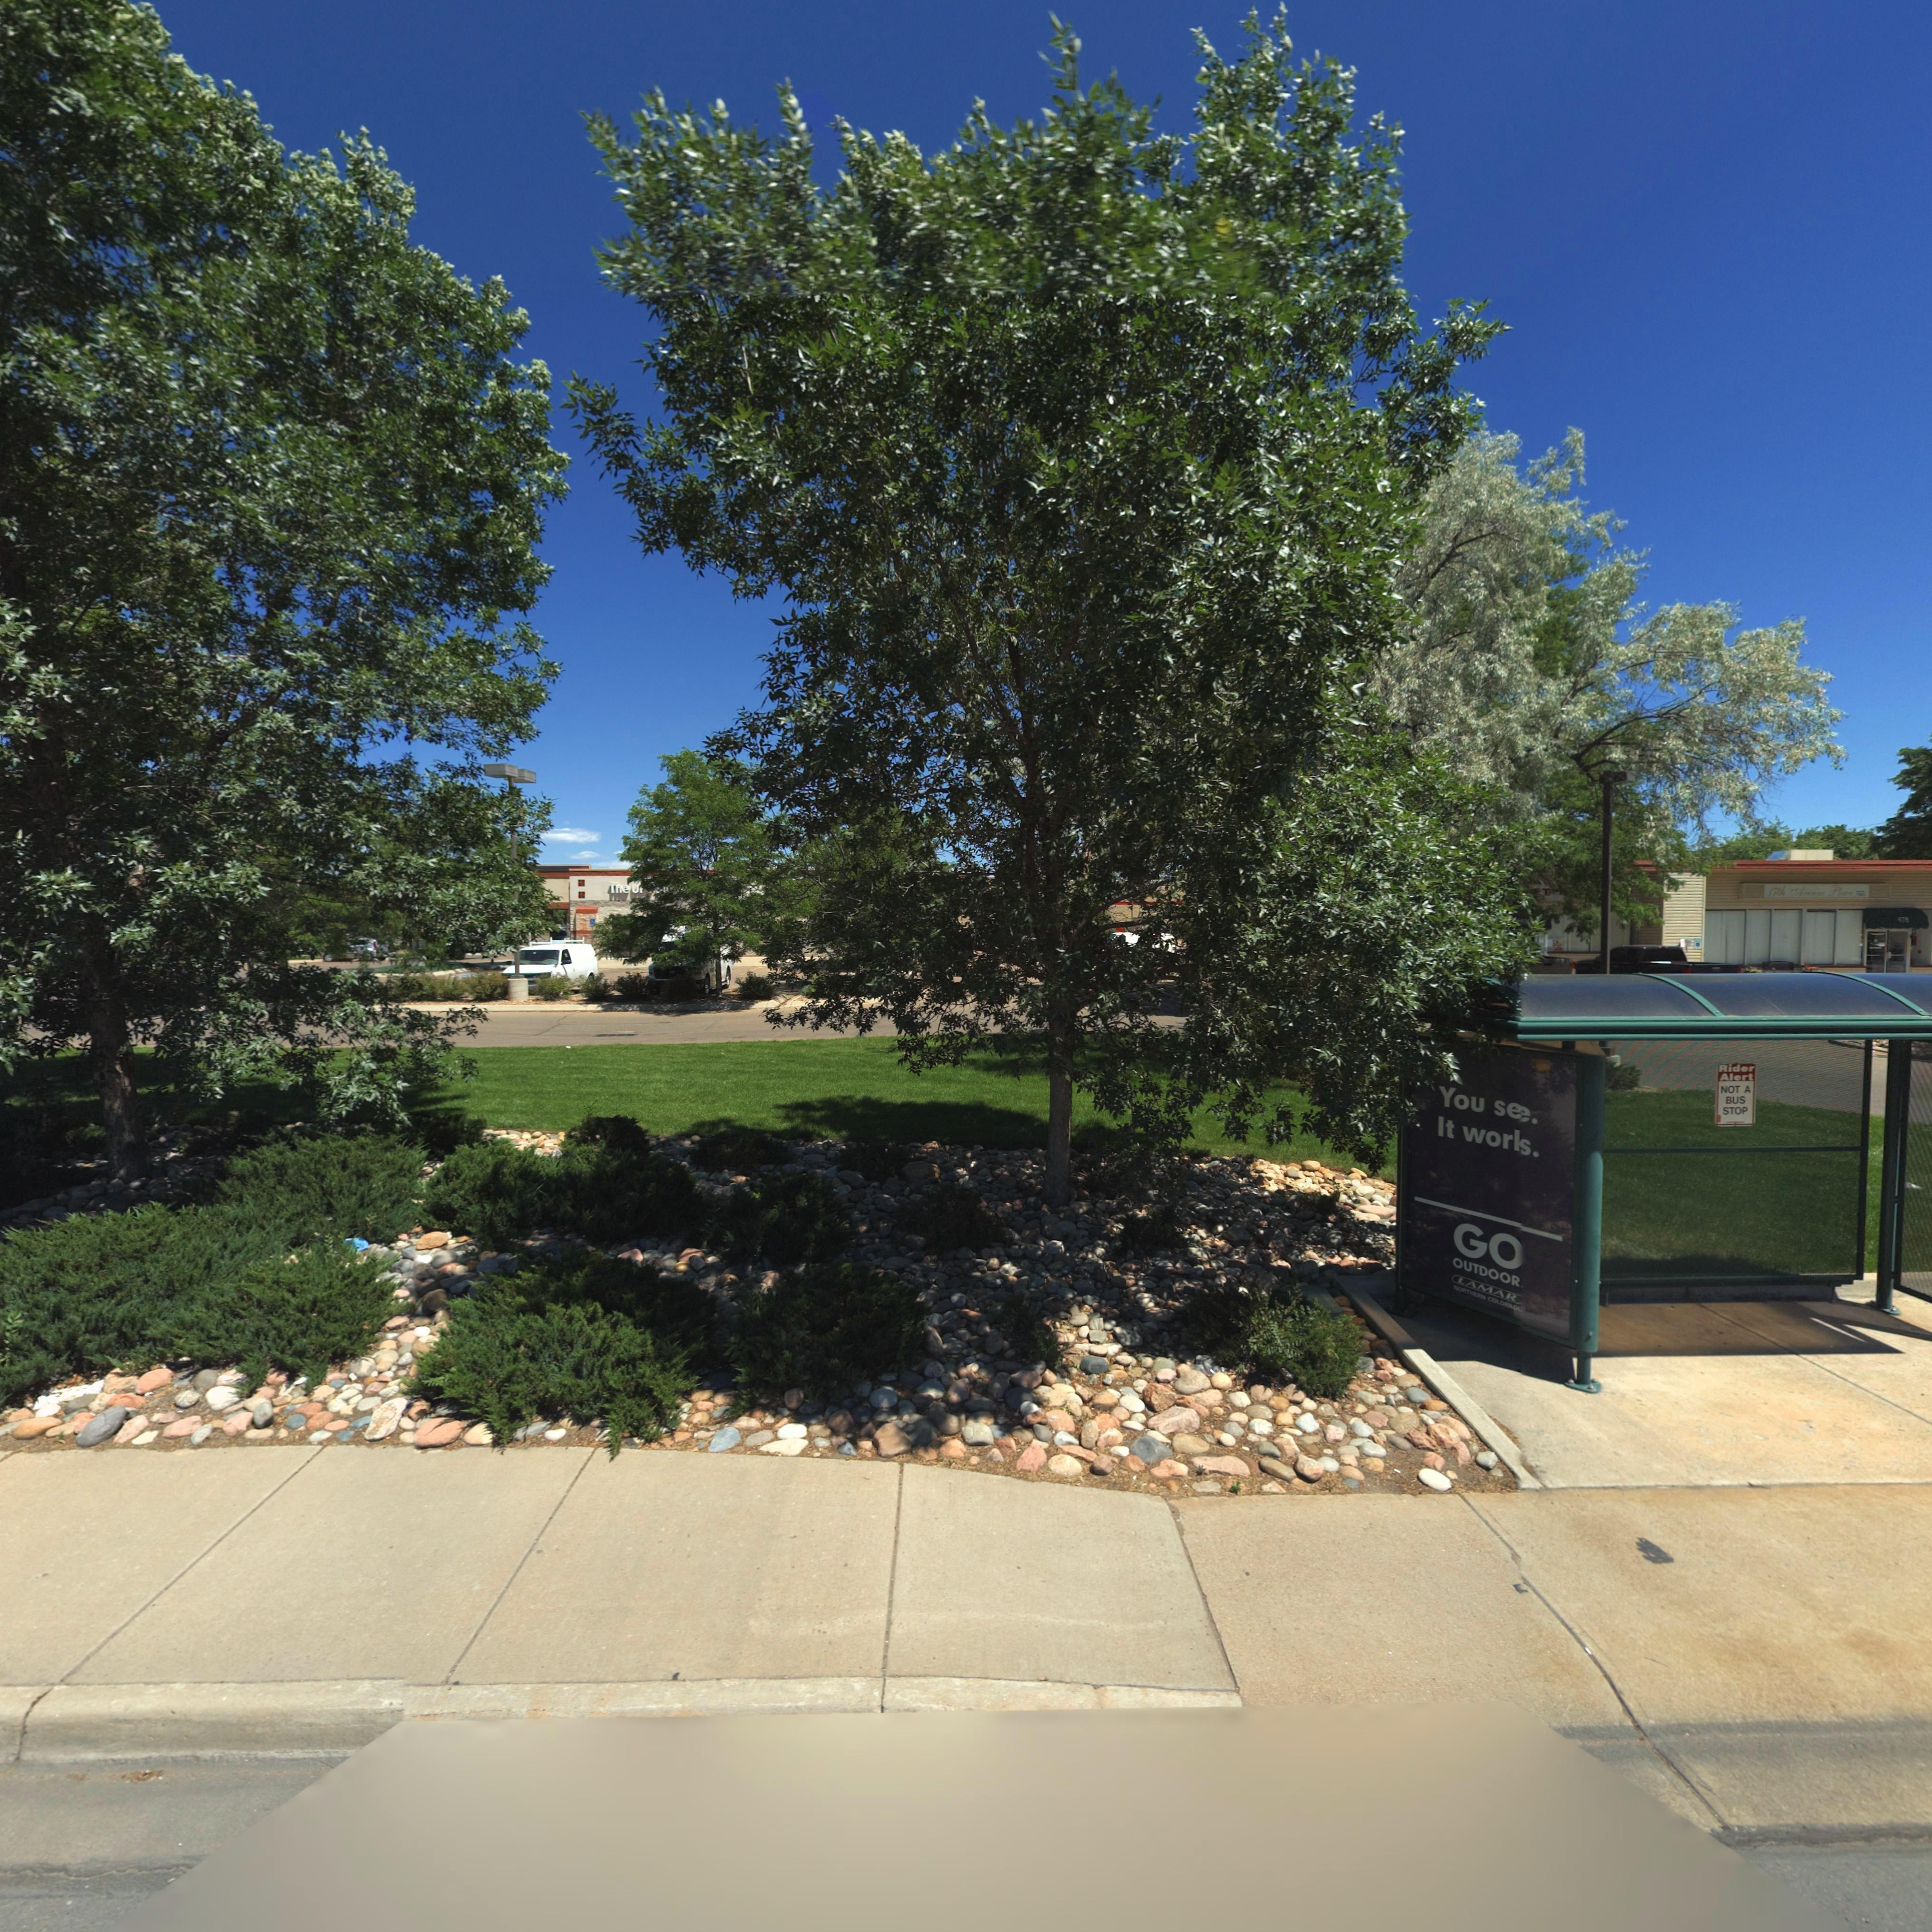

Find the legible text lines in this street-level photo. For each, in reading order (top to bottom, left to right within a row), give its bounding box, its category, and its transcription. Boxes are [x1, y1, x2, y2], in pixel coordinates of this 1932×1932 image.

[608, 883, 639, 894] BusinessName: The U
[1766, 884, 1787, 898] BusinessName: 17th
[1896, 916, 1911, 923] StreetNumber: 47*